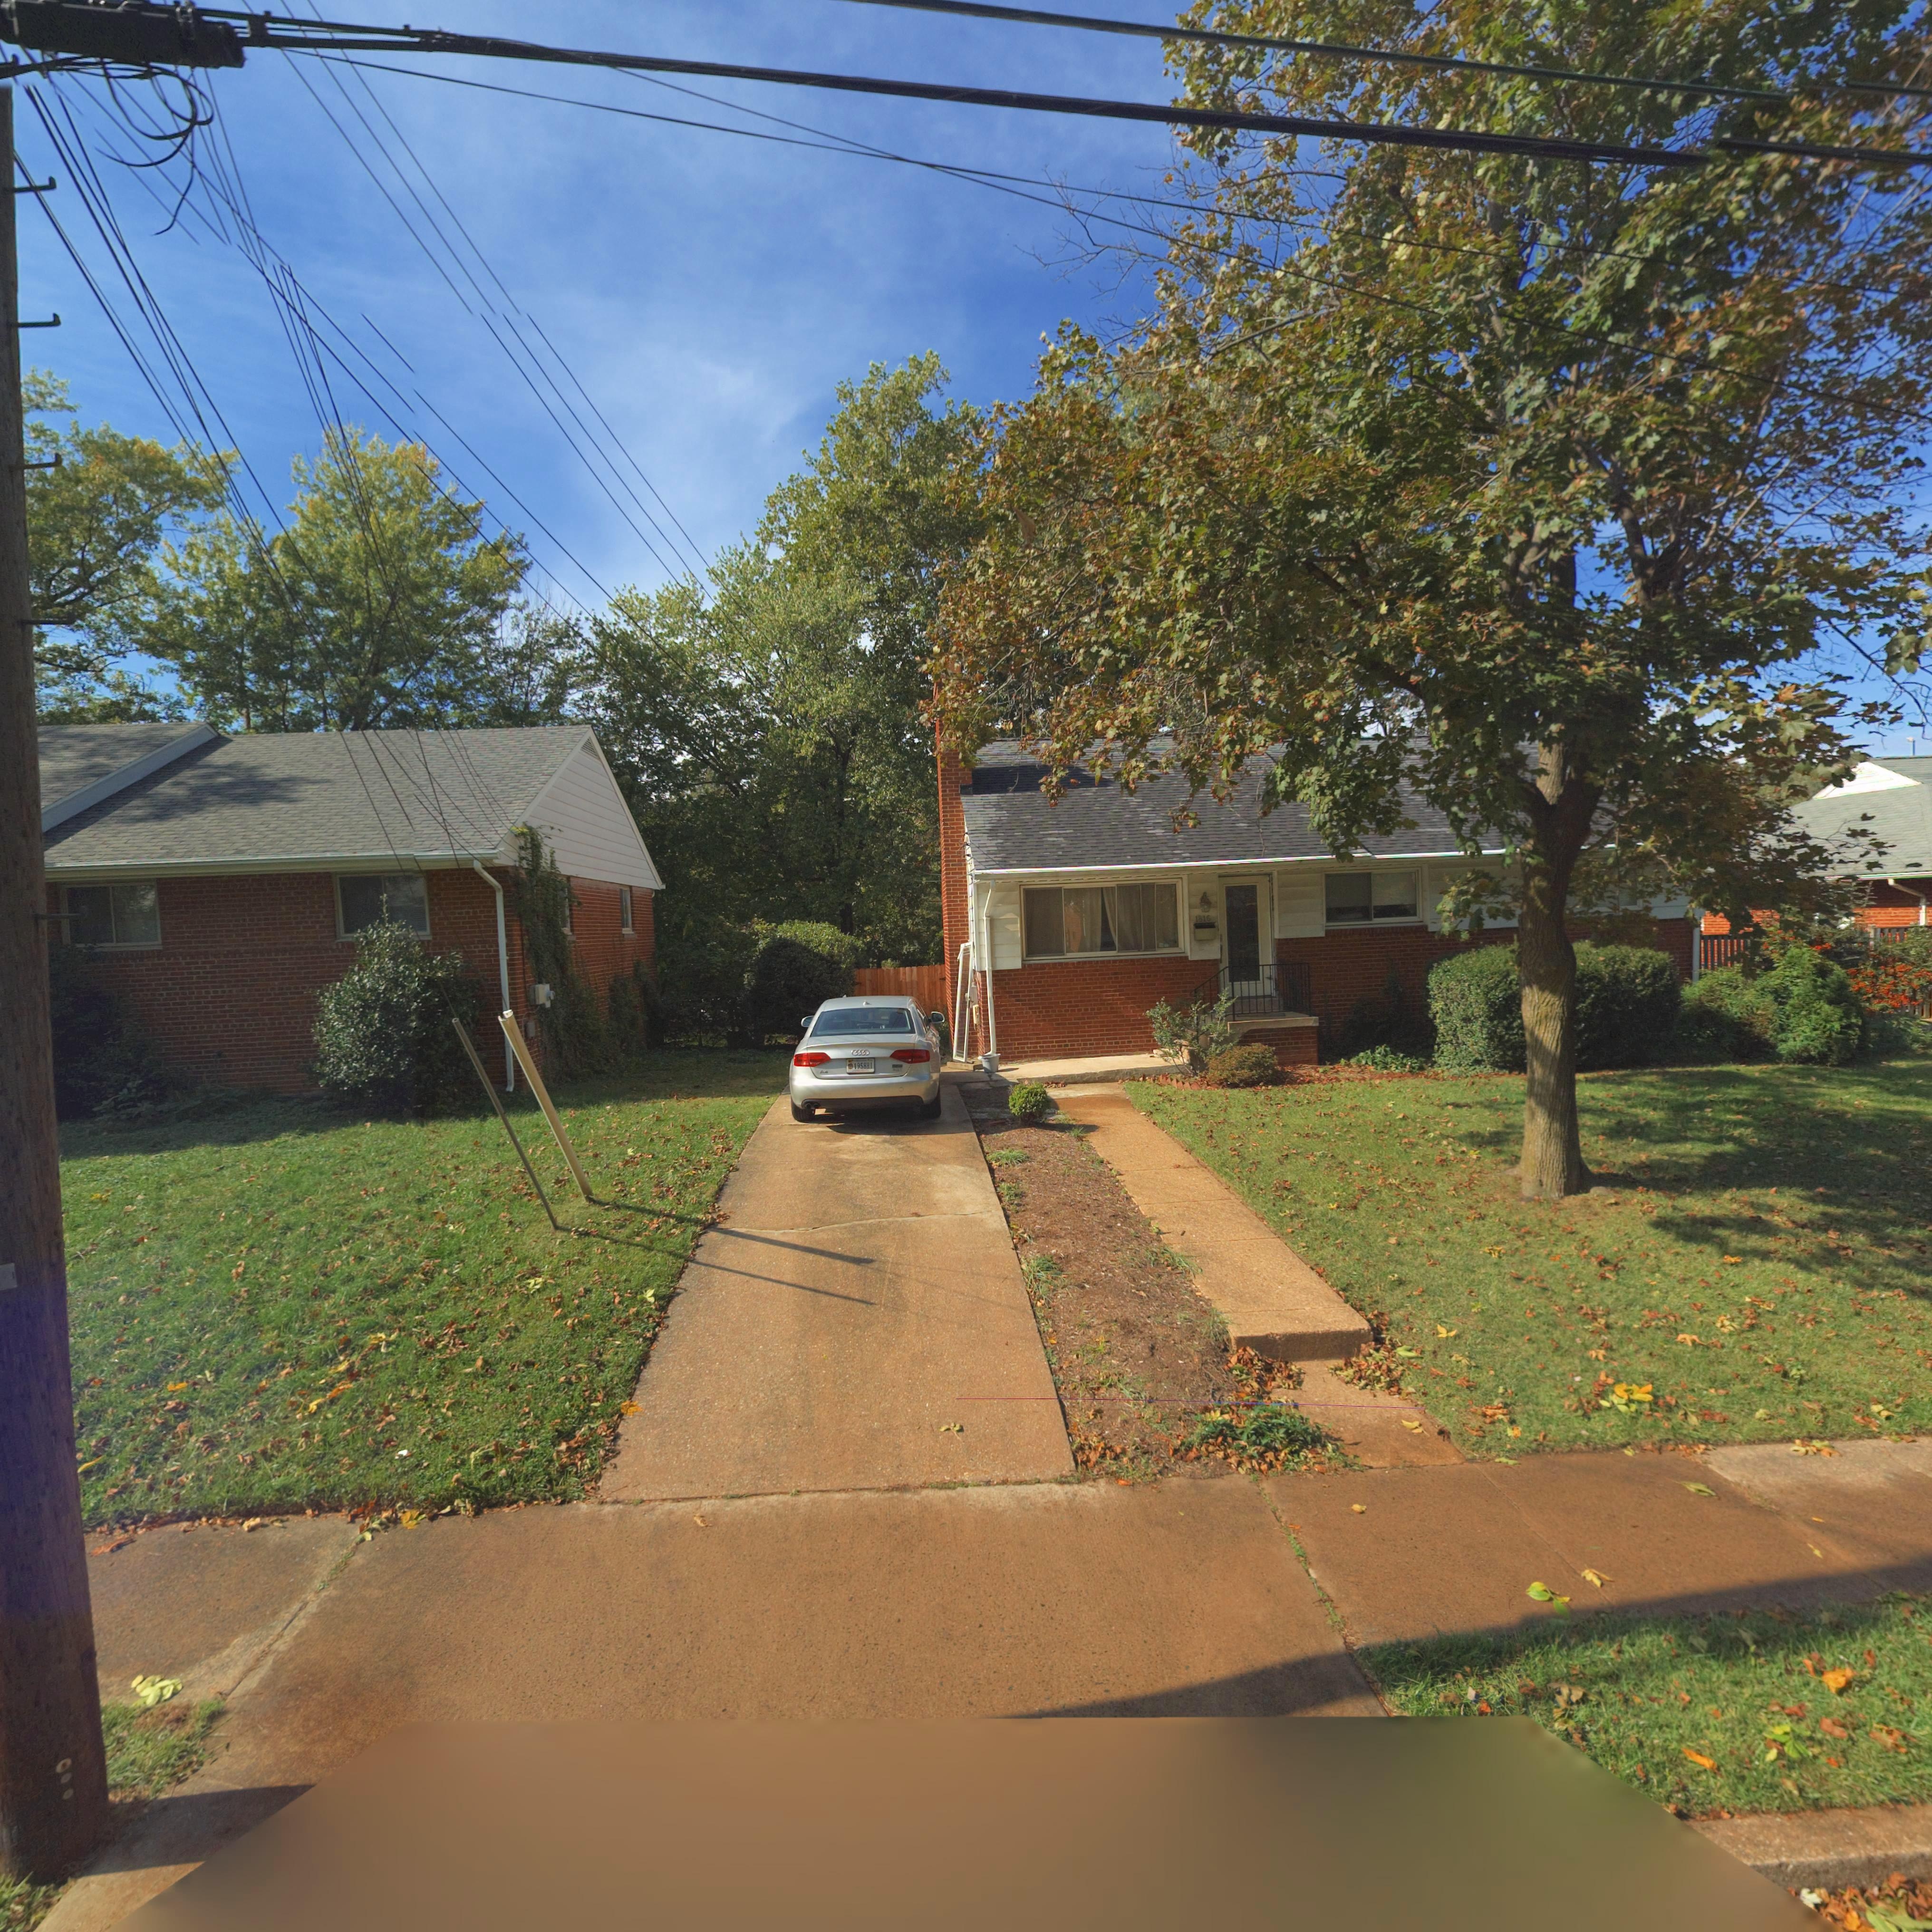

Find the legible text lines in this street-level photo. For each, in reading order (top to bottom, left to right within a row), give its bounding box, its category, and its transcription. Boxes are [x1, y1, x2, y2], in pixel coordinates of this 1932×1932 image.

[1194, 915, 1211, 923] StreetNumber: 1816
[853, 1062, 873, 1070] None: 195881
[819, 1069, 829, 1074] None: A*